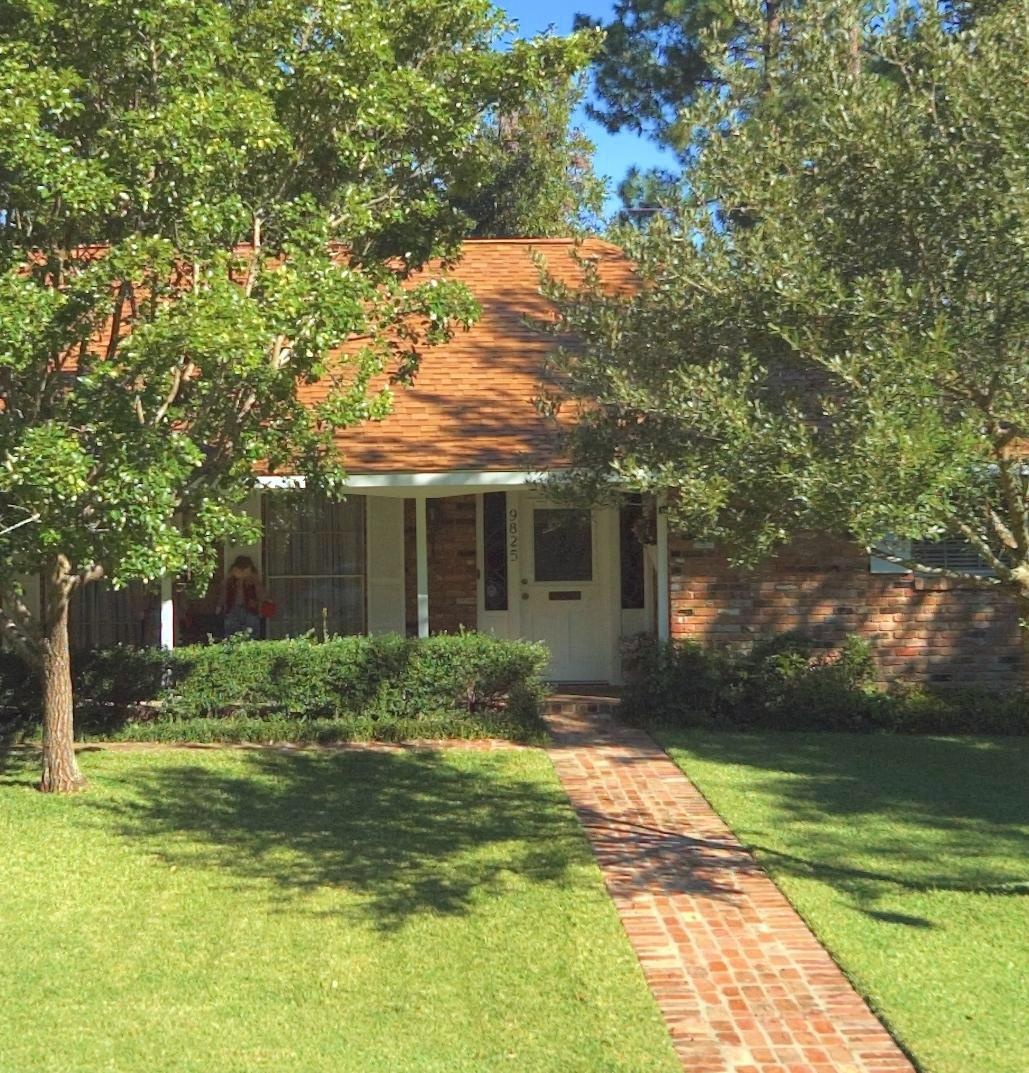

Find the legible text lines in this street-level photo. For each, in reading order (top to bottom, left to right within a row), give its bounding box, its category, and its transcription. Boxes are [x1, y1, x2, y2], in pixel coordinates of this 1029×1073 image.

[506, 508, 521, 563] StreetNumber: 9825